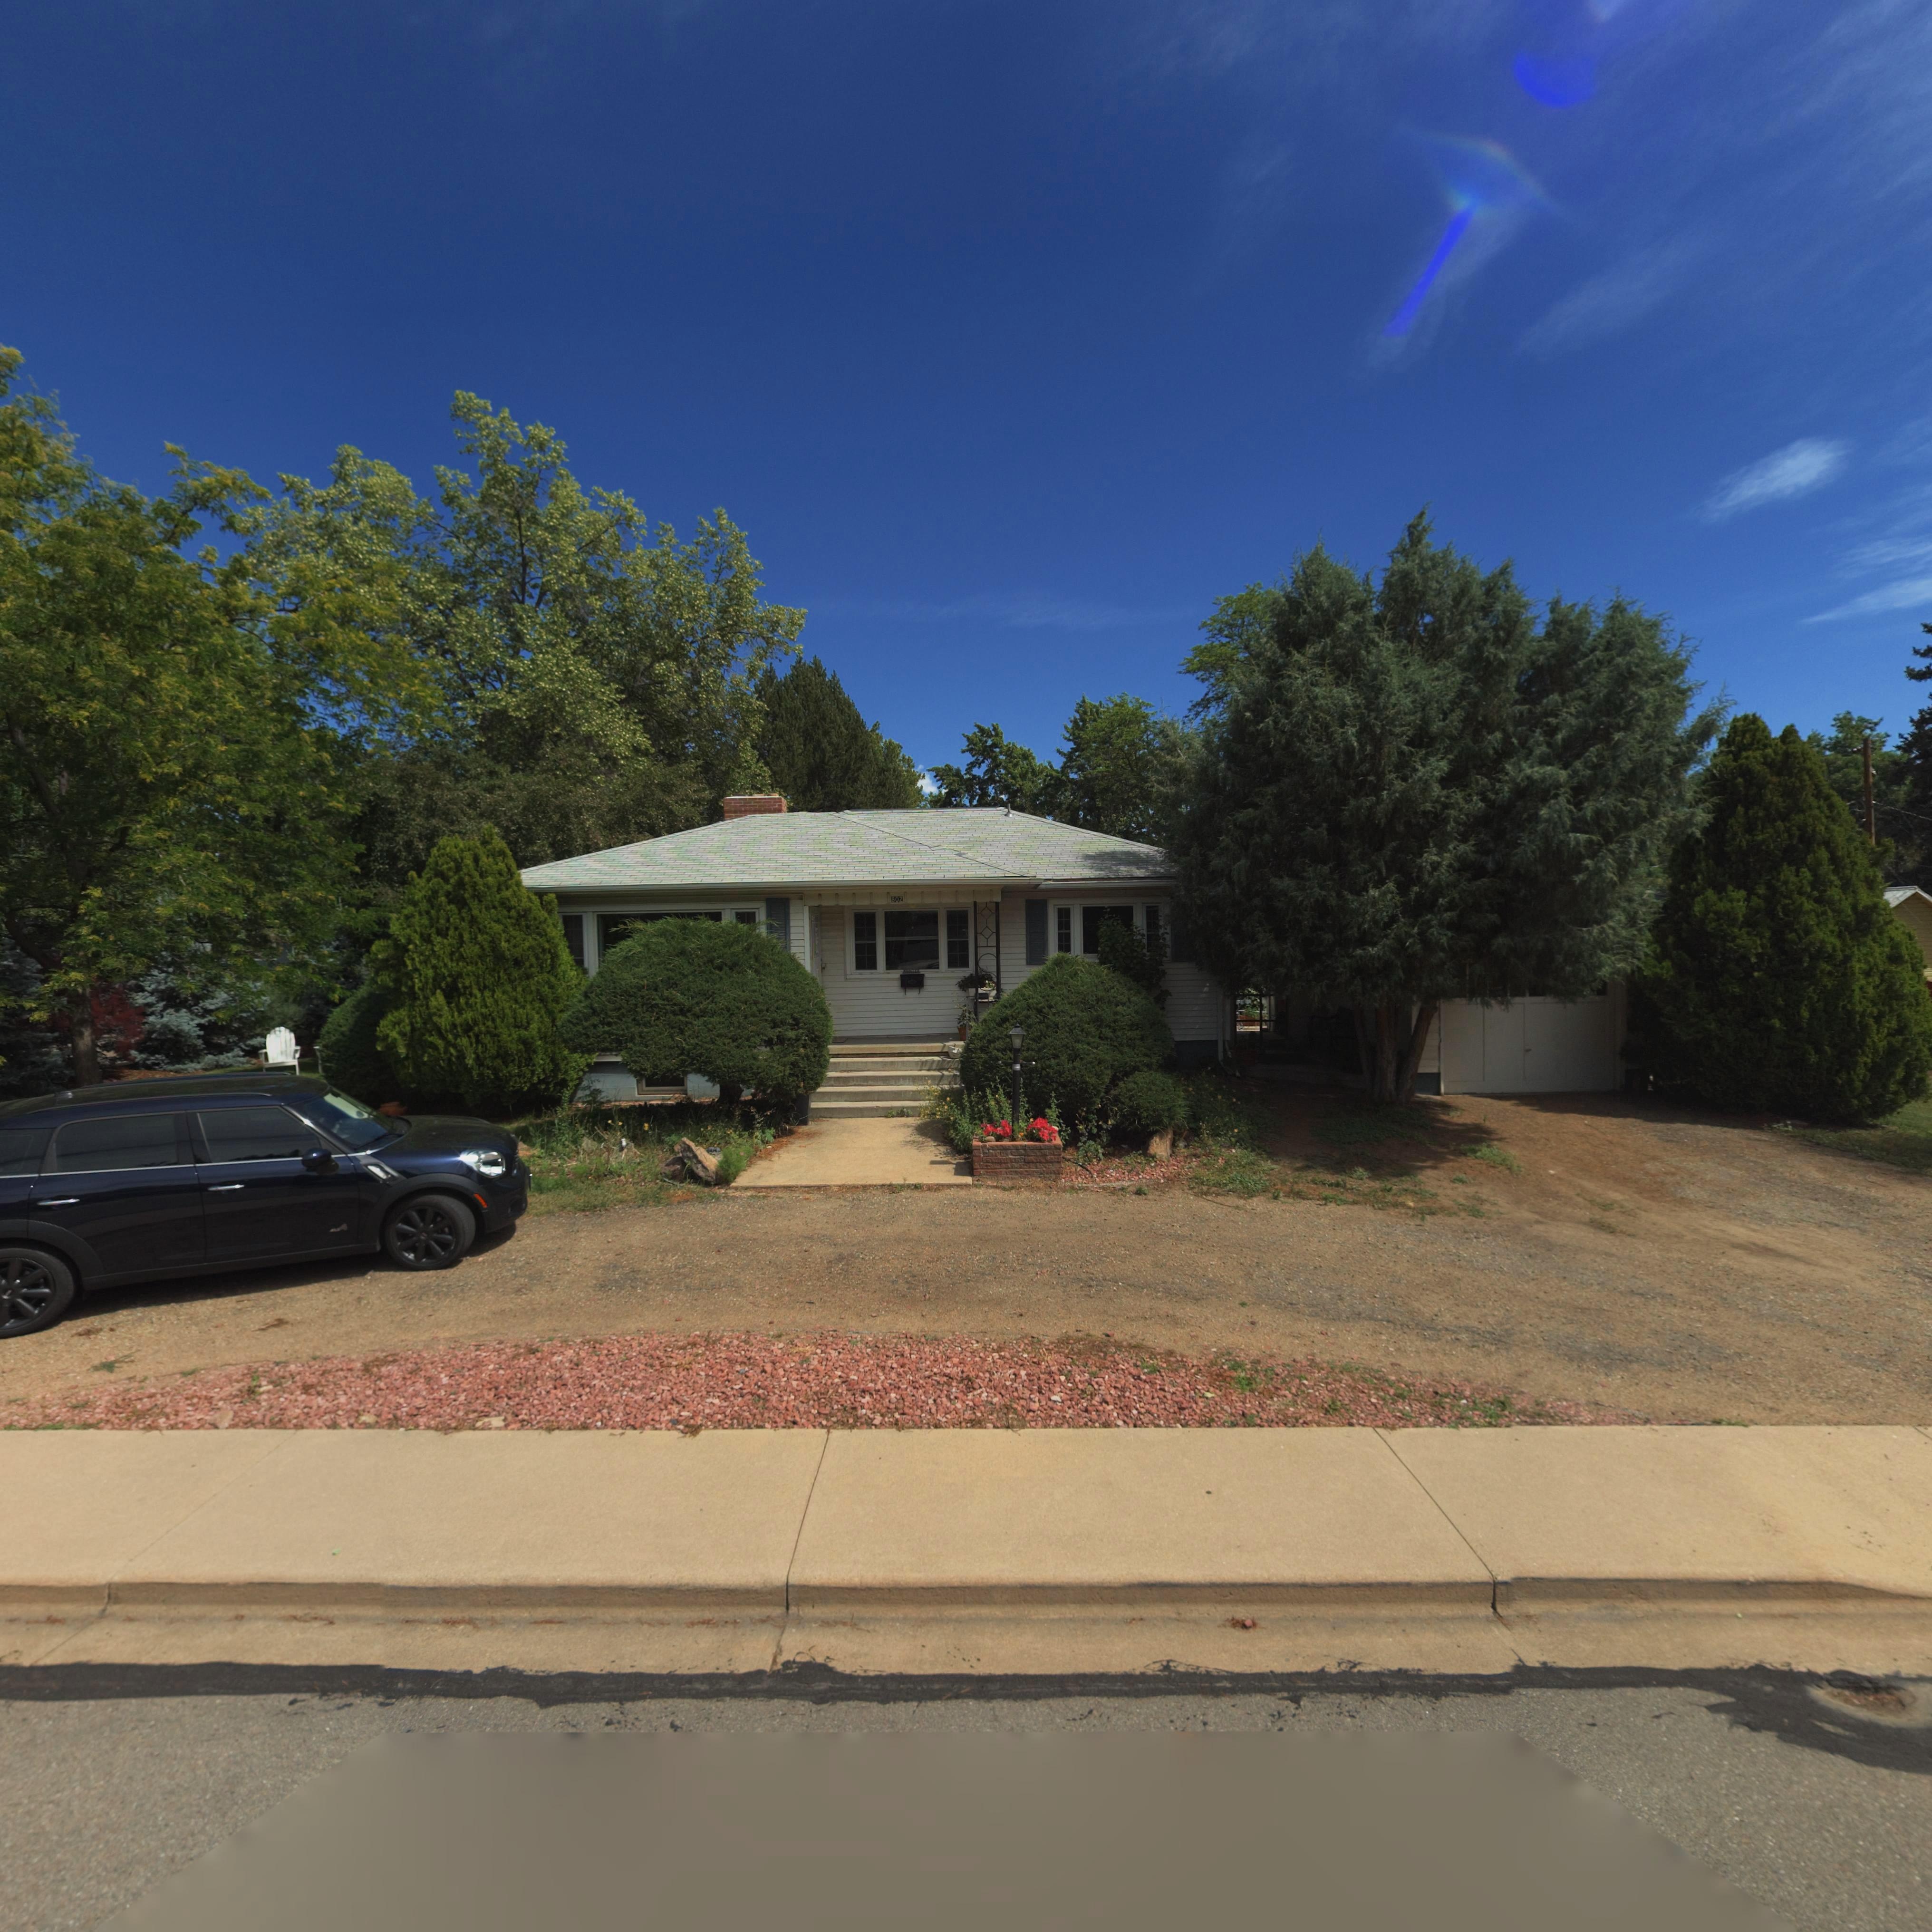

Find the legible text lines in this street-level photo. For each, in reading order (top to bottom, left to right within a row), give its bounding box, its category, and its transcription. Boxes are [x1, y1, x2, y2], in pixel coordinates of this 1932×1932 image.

[891, 896, 902, 902] StreetNumber: 802